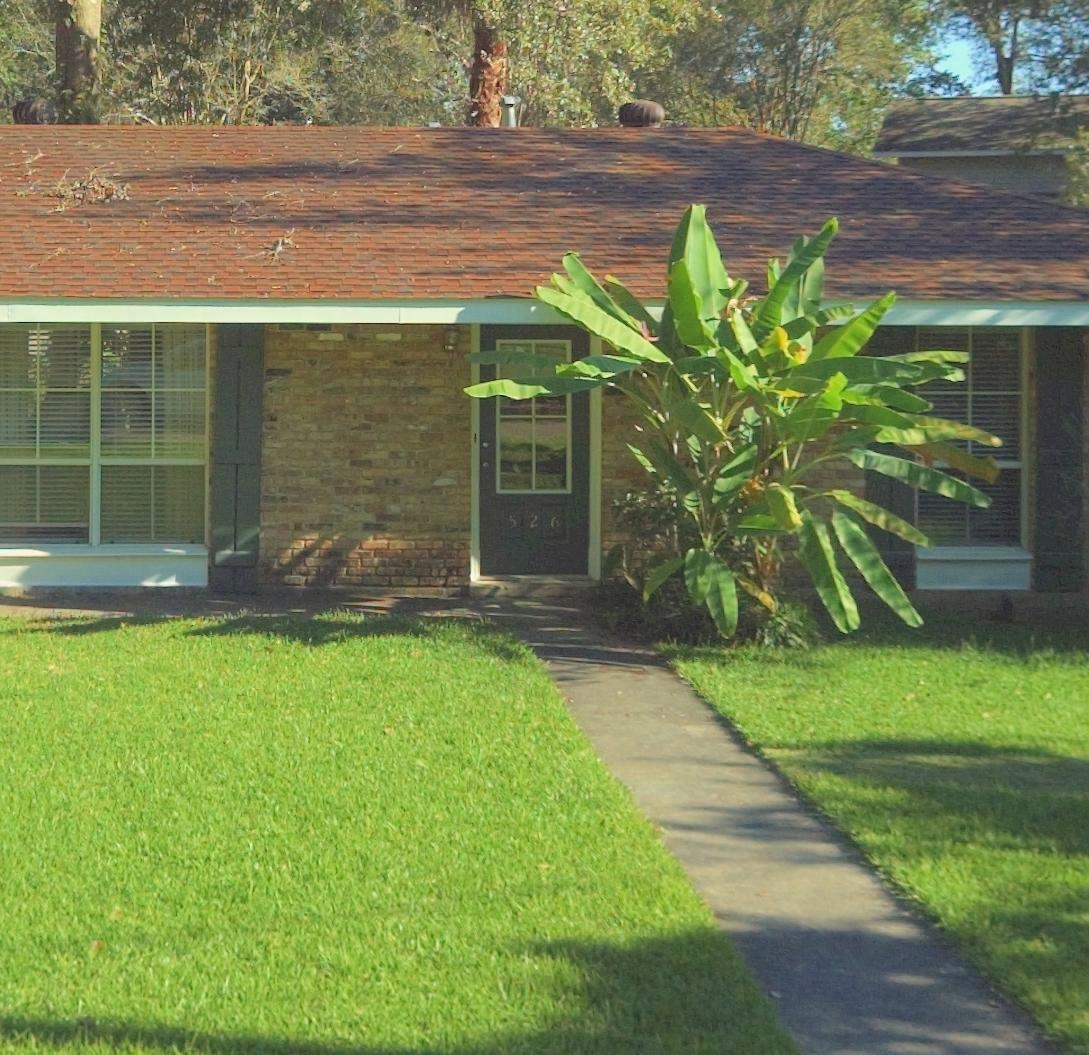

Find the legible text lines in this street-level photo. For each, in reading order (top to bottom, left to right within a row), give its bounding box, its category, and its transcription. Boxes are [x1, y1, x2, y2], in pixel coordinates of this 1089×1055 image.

[507, 512, 562, 531] StreetNumber: 526